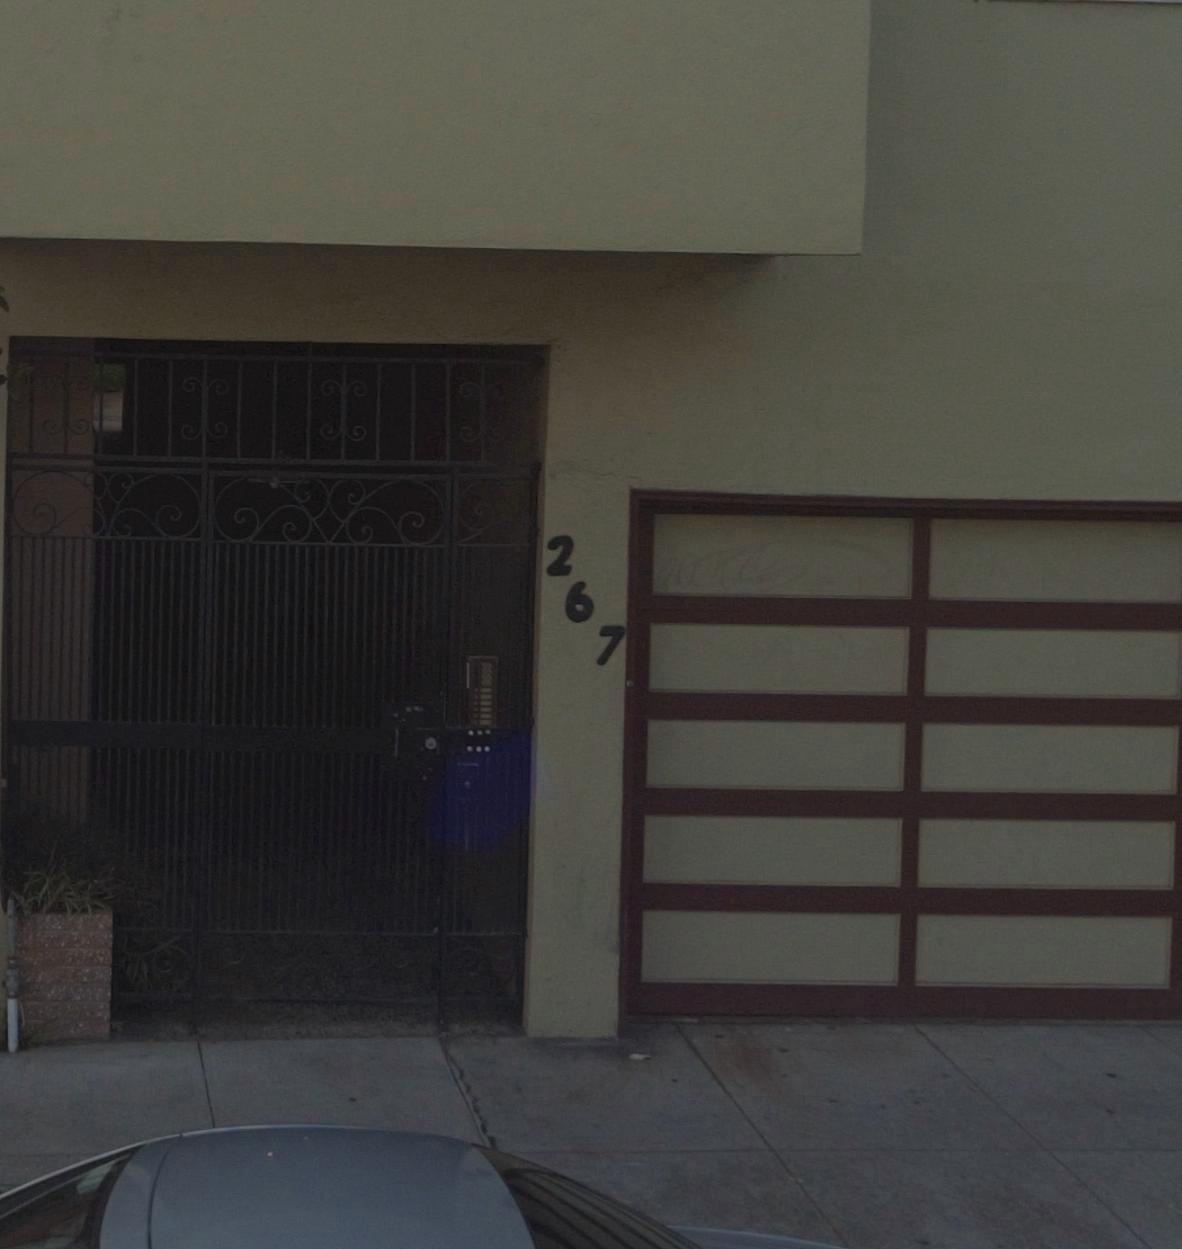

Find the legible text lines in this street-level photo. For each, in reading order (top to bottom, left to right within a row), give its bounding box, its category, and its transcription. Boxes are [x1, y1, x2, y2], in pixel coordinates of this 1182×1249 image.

[543, 532, 628, 667] StreetNumber: 267